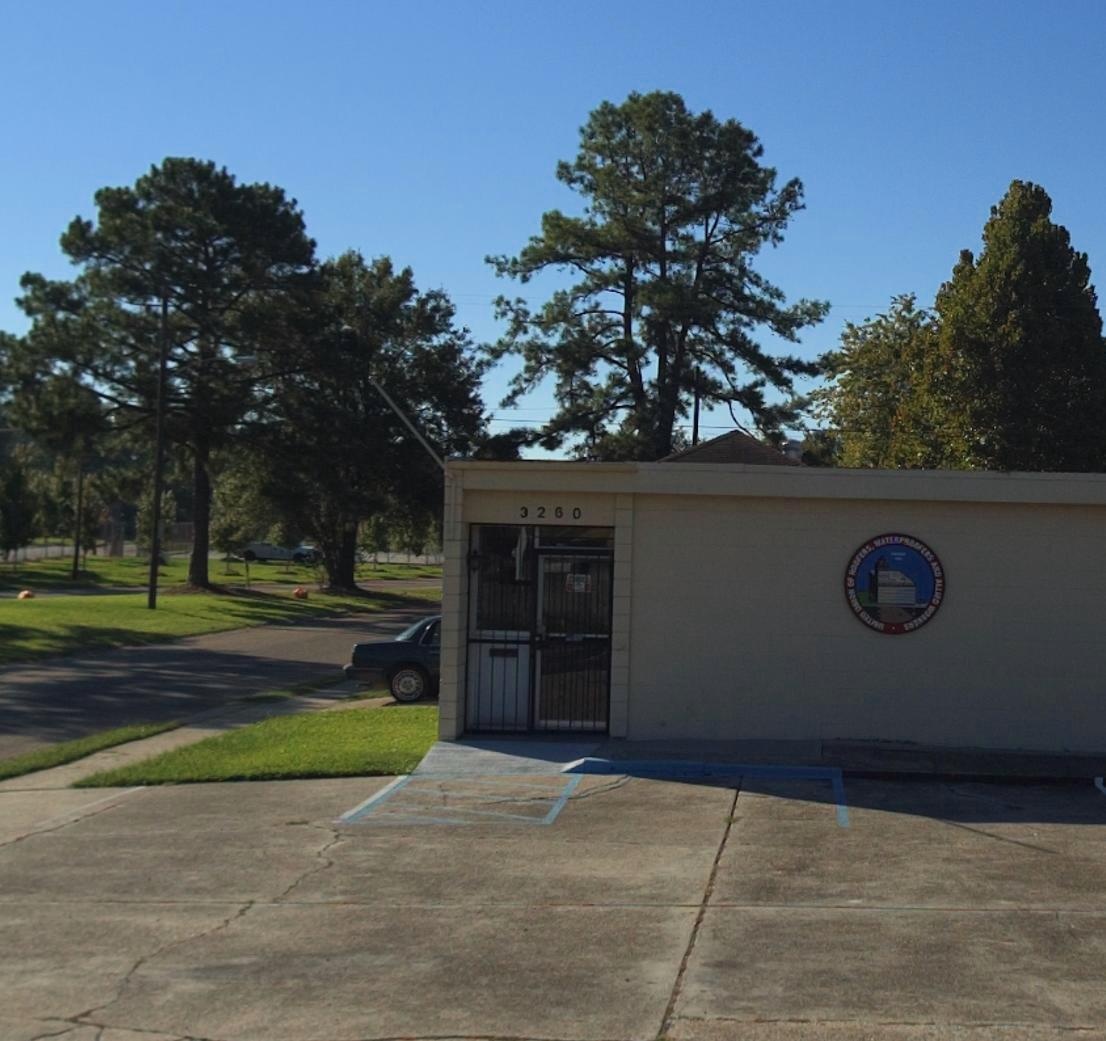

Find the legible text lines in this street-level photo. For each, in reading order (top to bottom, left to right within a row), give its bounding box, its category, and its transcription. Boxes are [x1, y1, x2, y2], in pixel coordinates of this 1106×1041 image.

[517, 503, 584, 522] StreetNumber: 3260